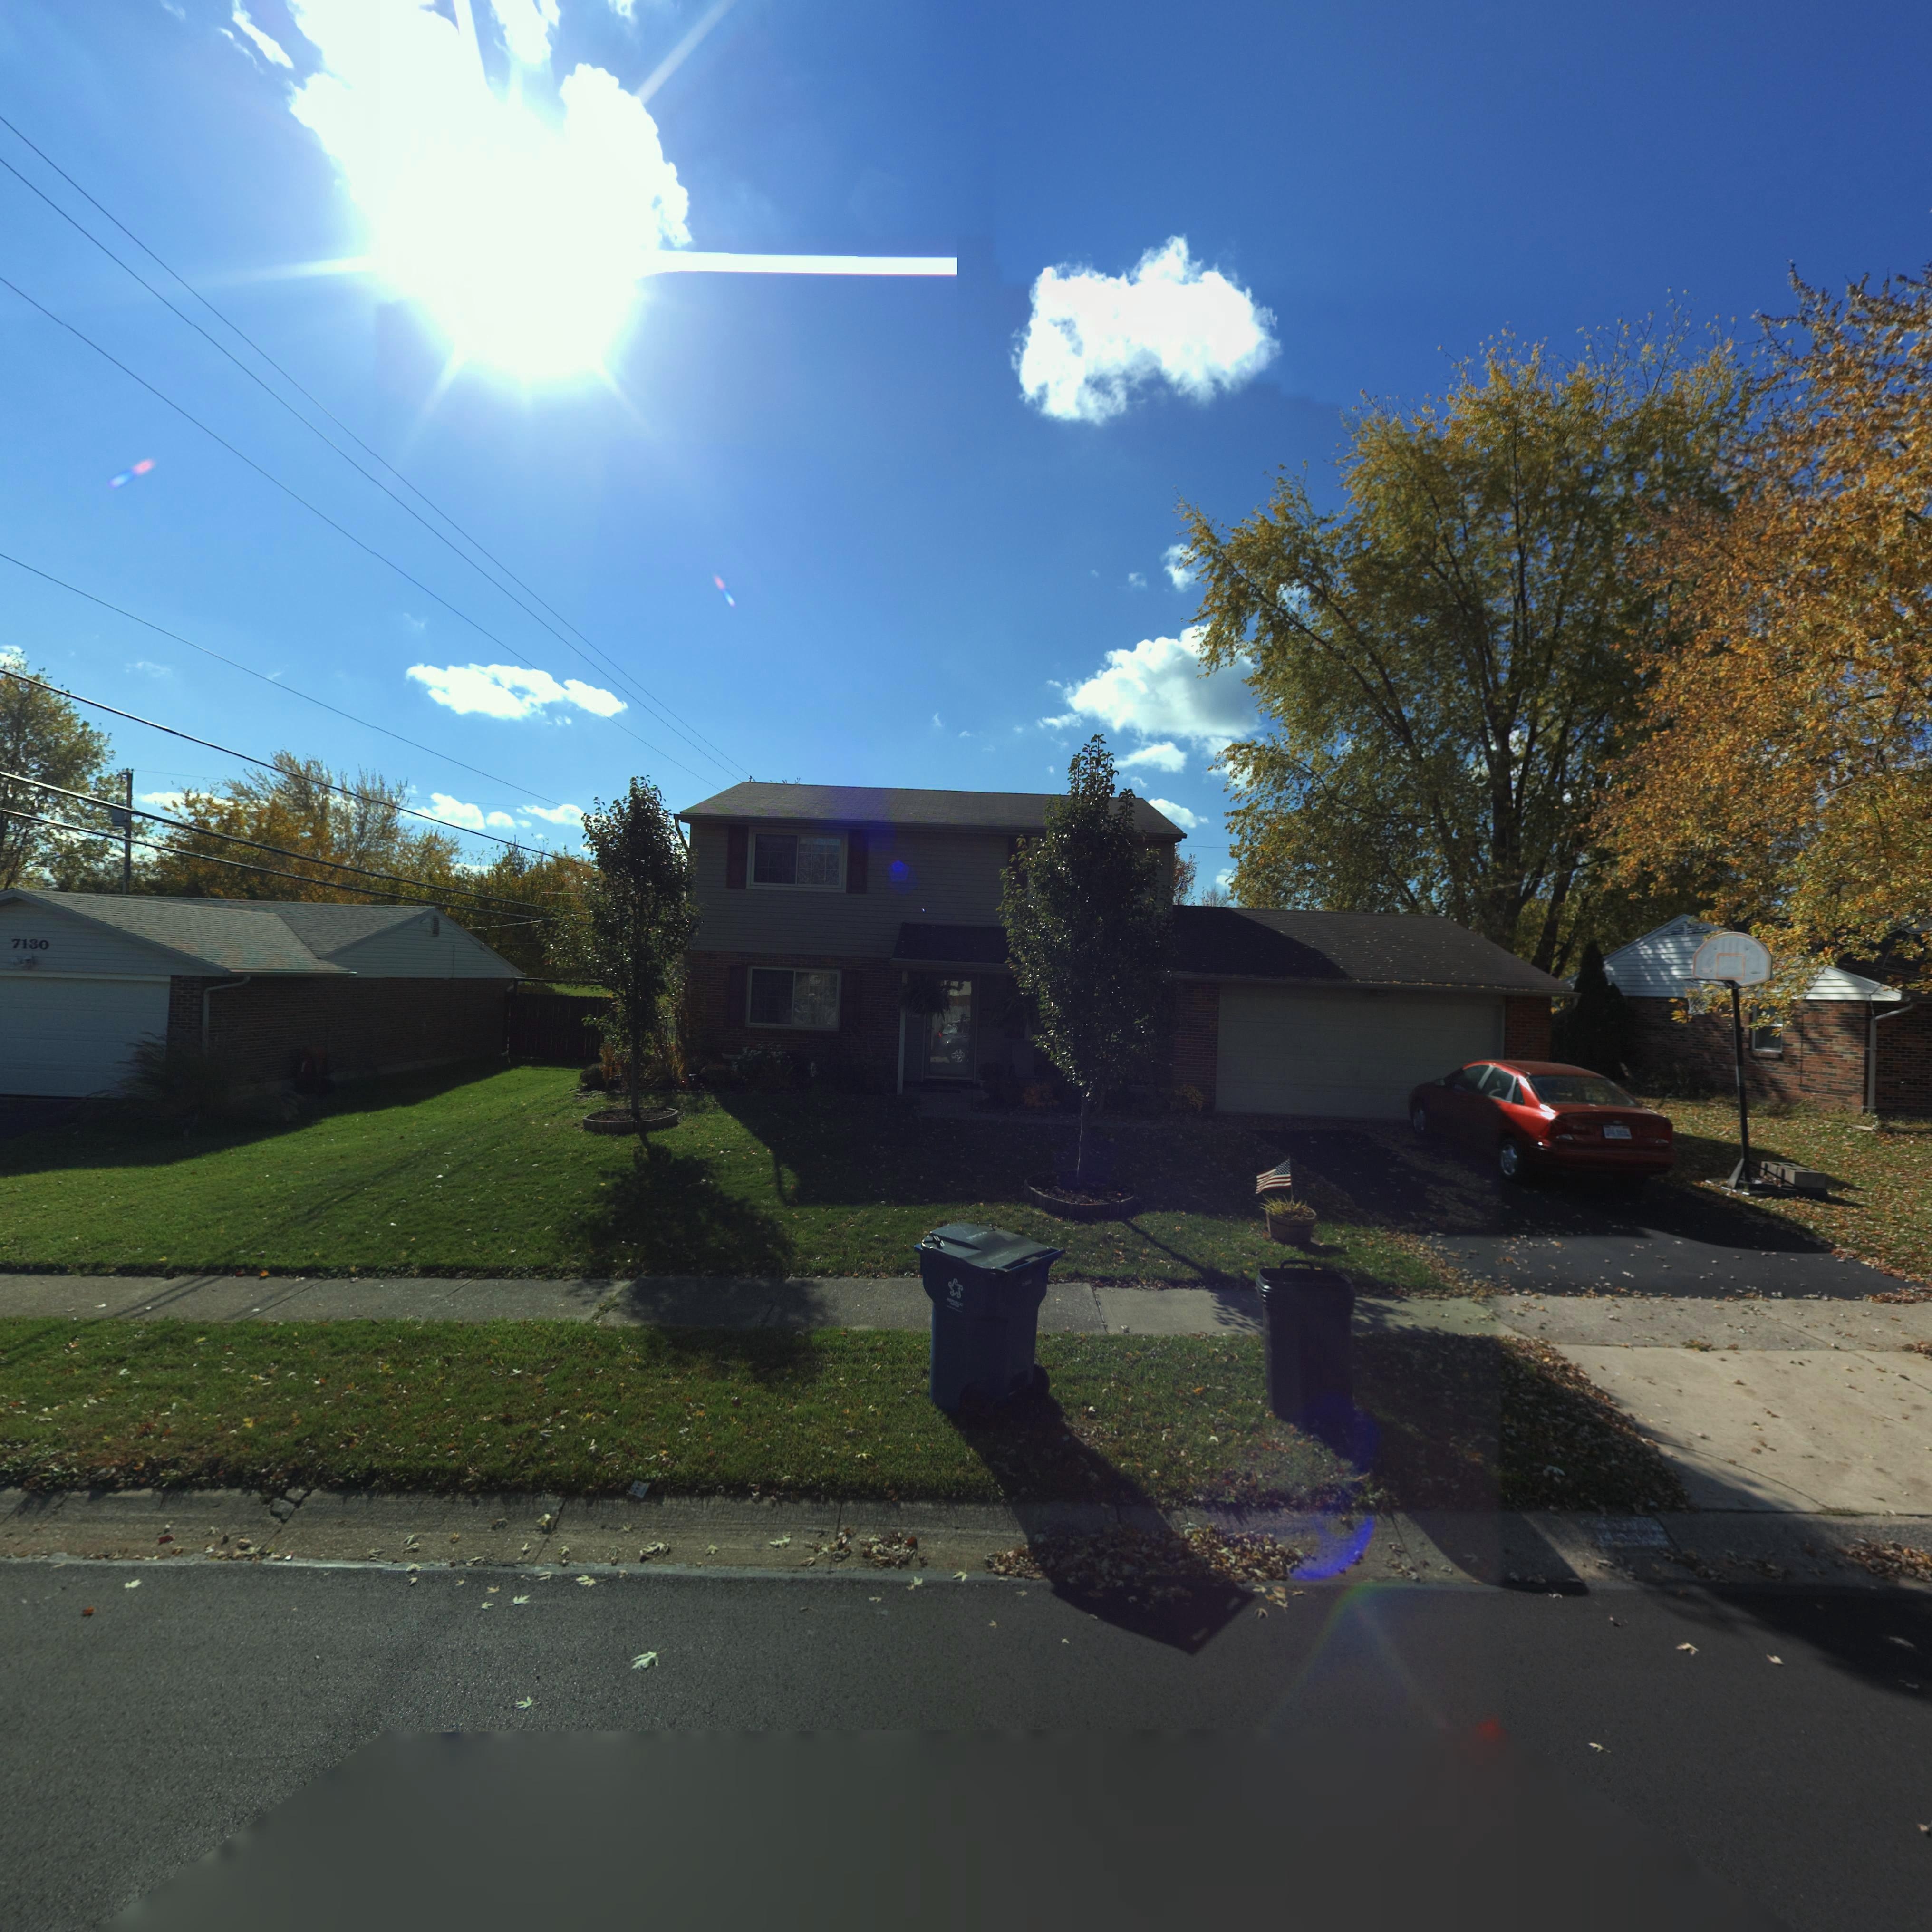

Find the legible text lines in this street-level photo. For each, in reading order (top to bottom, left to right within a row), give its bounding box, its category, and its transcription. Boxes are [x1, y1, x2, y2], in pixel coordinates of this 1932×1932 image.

[10, 937, 50, 951] StreetNumber: 7130